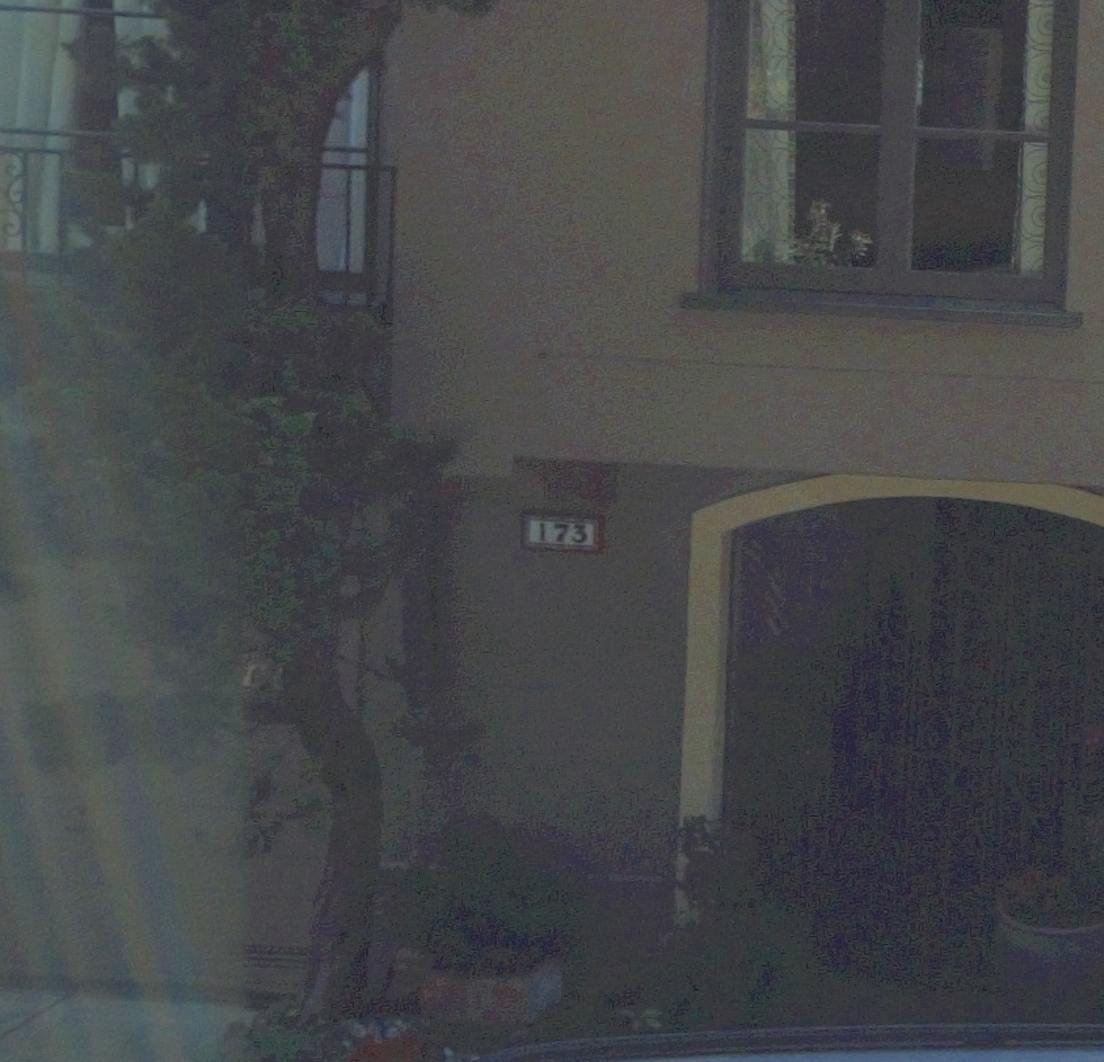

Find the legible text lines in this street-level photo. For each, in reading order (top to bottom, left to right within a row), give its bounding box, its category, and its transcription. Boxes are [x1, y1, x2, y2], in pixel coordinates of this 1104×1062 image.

[536, 521, 589, 544] StreetNumber: 173